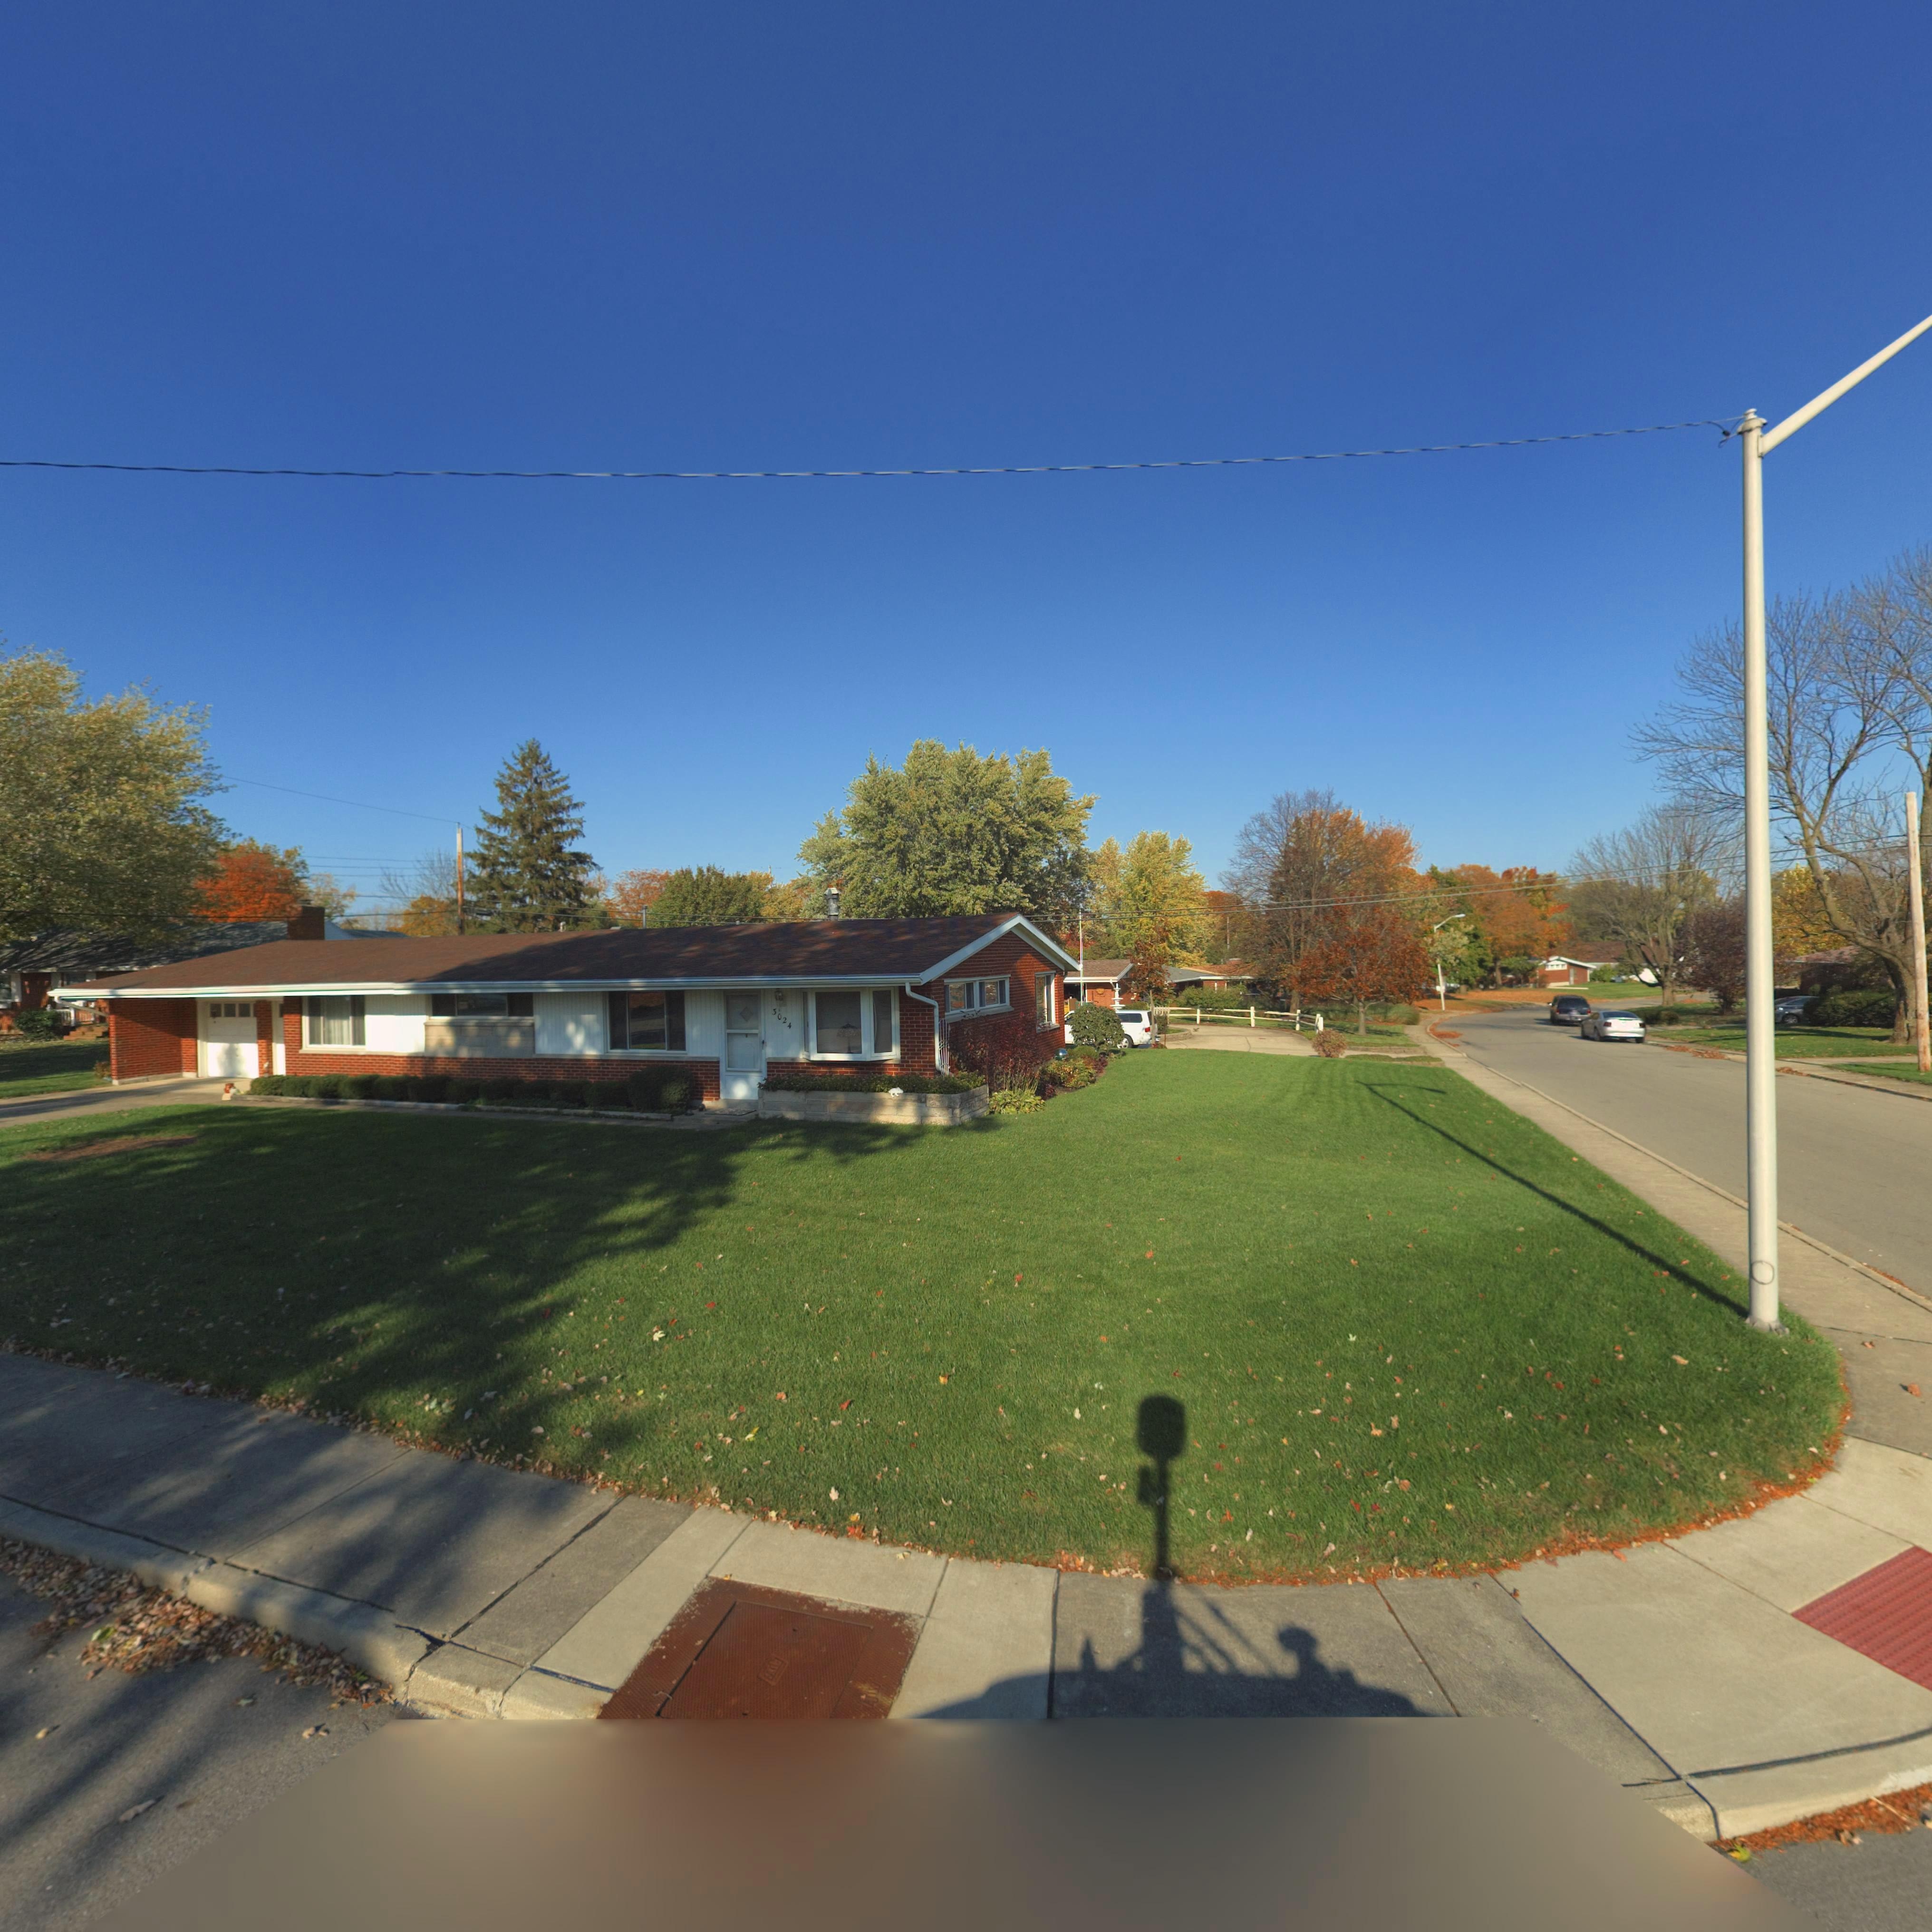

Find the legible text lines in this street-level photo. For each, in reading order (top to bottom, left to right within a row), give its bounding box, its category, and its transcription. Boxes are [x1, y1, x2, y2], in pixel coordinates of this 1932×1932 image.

[771, 1007, 793, 1031] StreetNumber: 3024